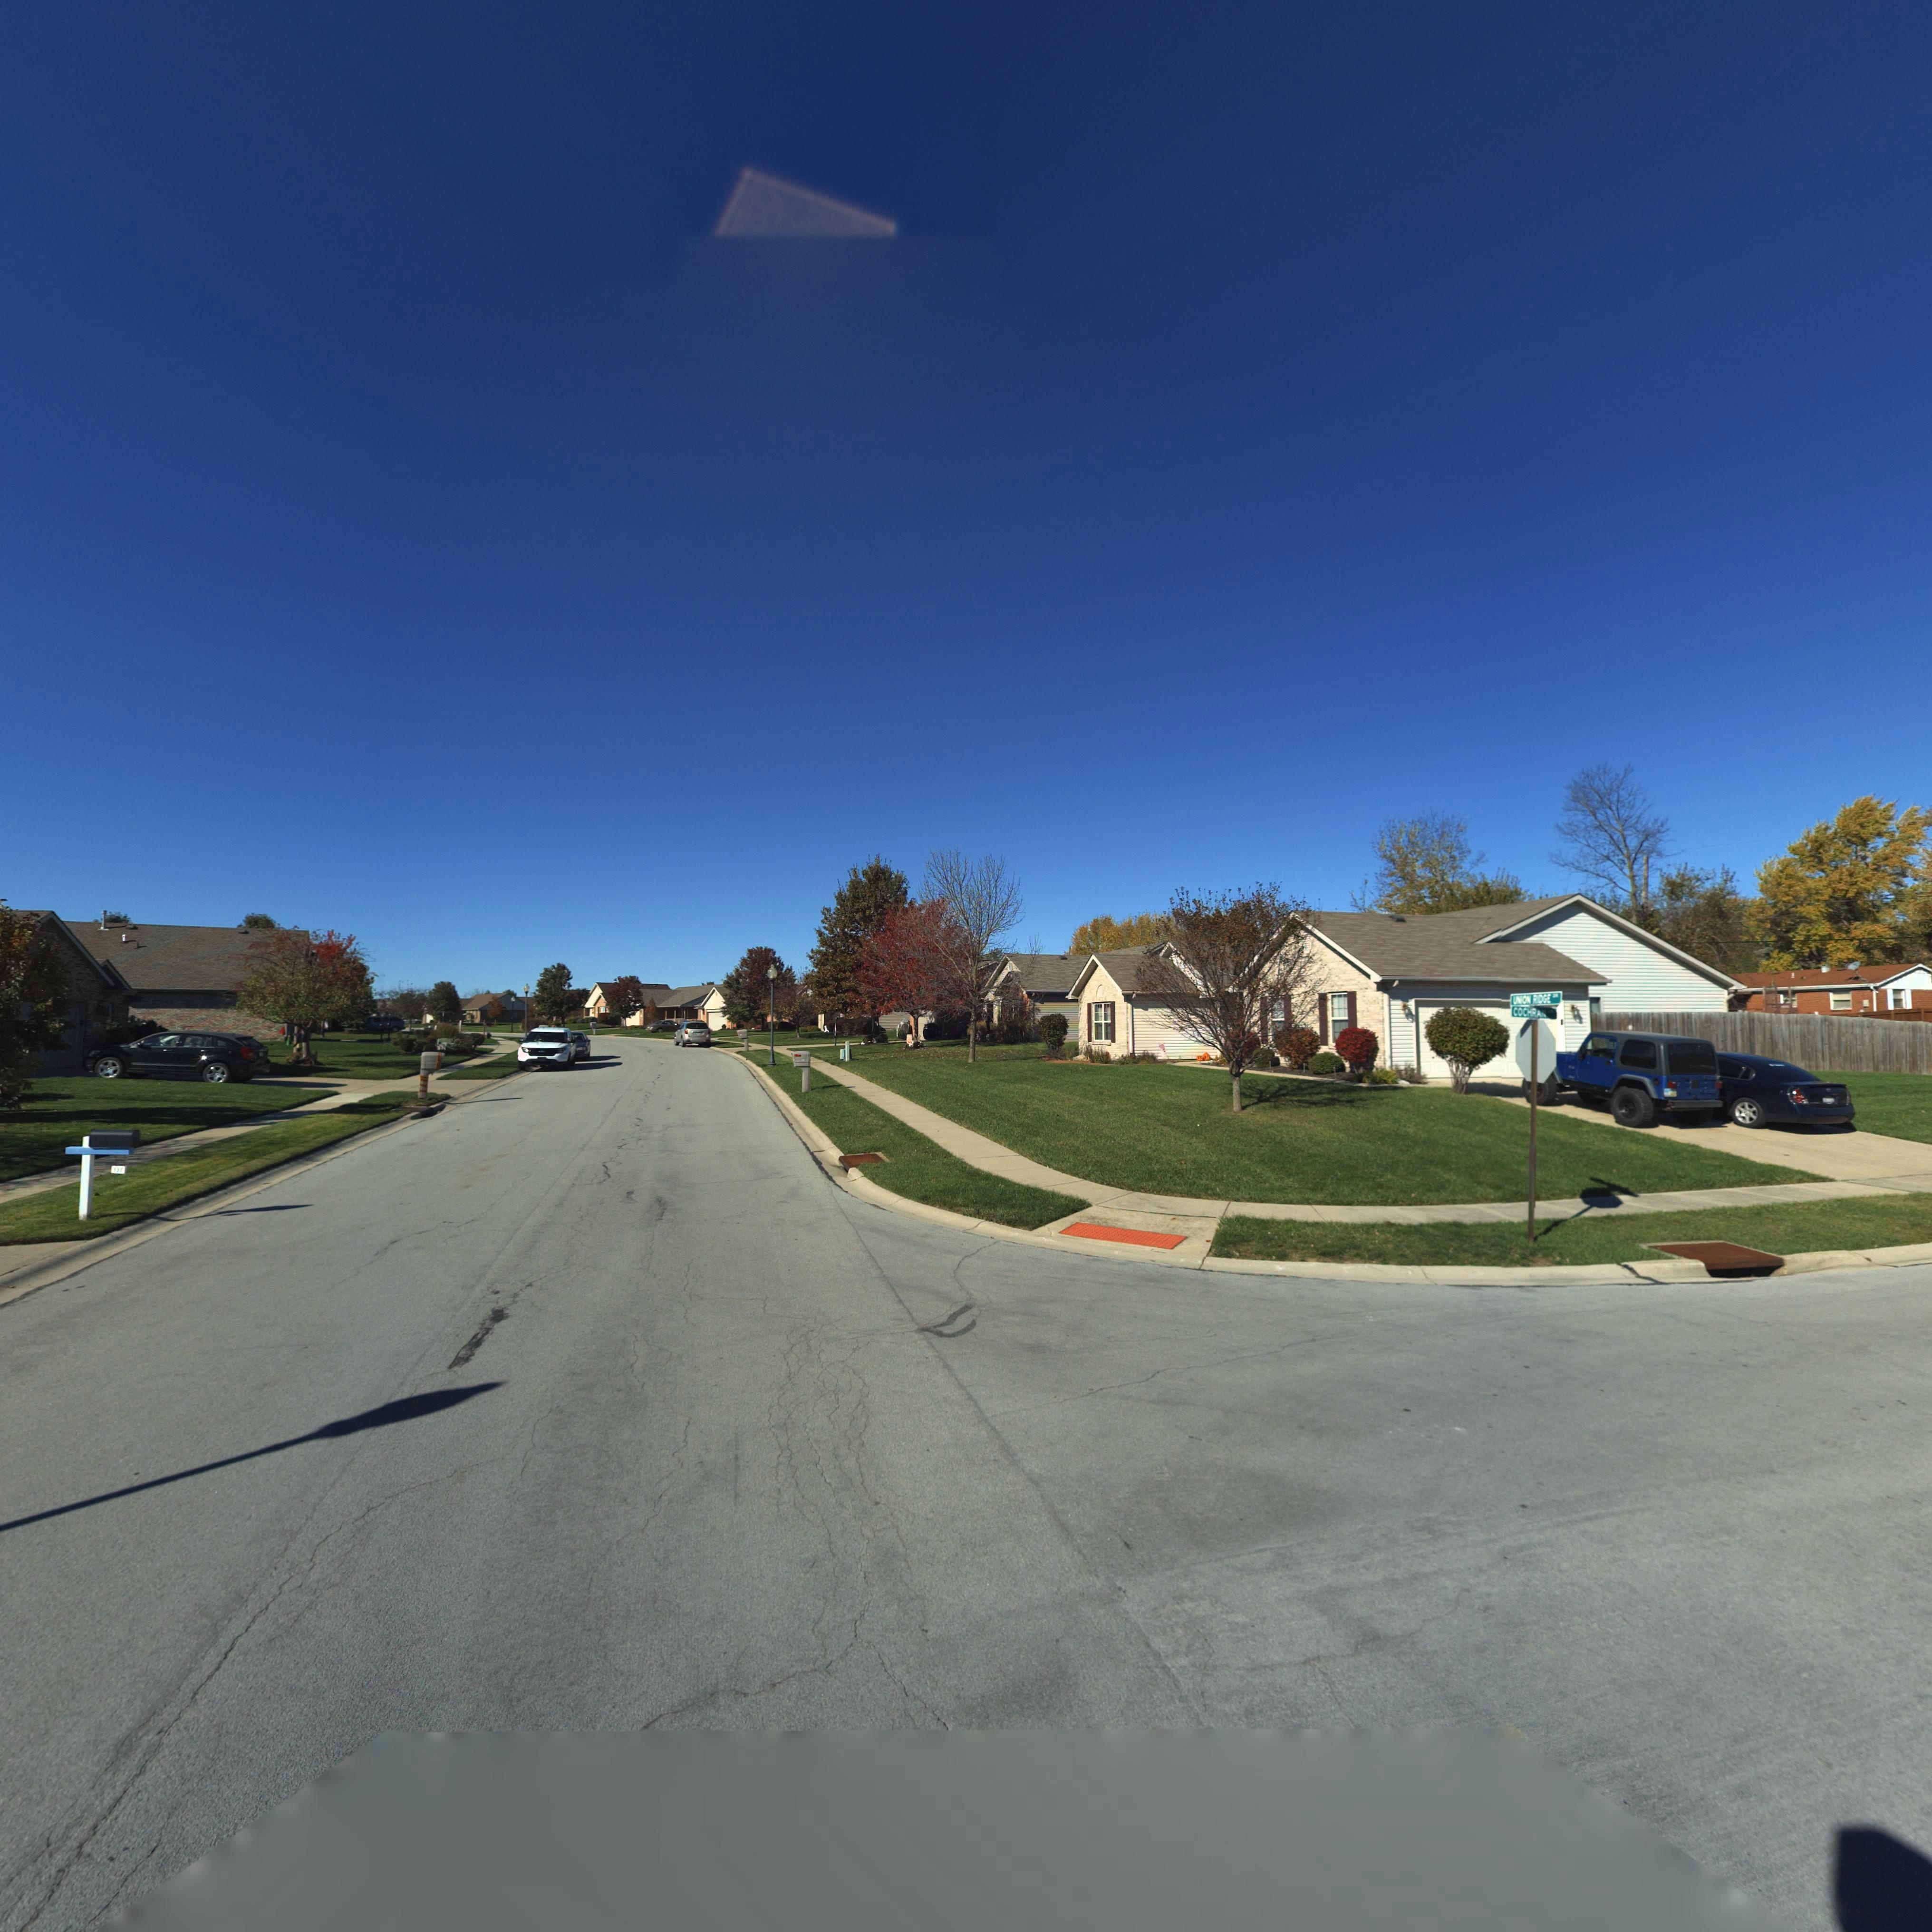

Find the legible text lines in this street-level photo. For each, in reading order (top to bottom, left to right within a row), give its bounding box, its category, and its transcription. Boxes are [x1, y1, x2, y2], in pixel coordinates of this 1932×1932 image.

[1511, 992, 1551, 1004] StreetName: UNION RIDGE
[1512, 1005, 1549, 1018] StreetName: COCHRAN
[113, 1167, 123, 1173] StreetNumber: 137